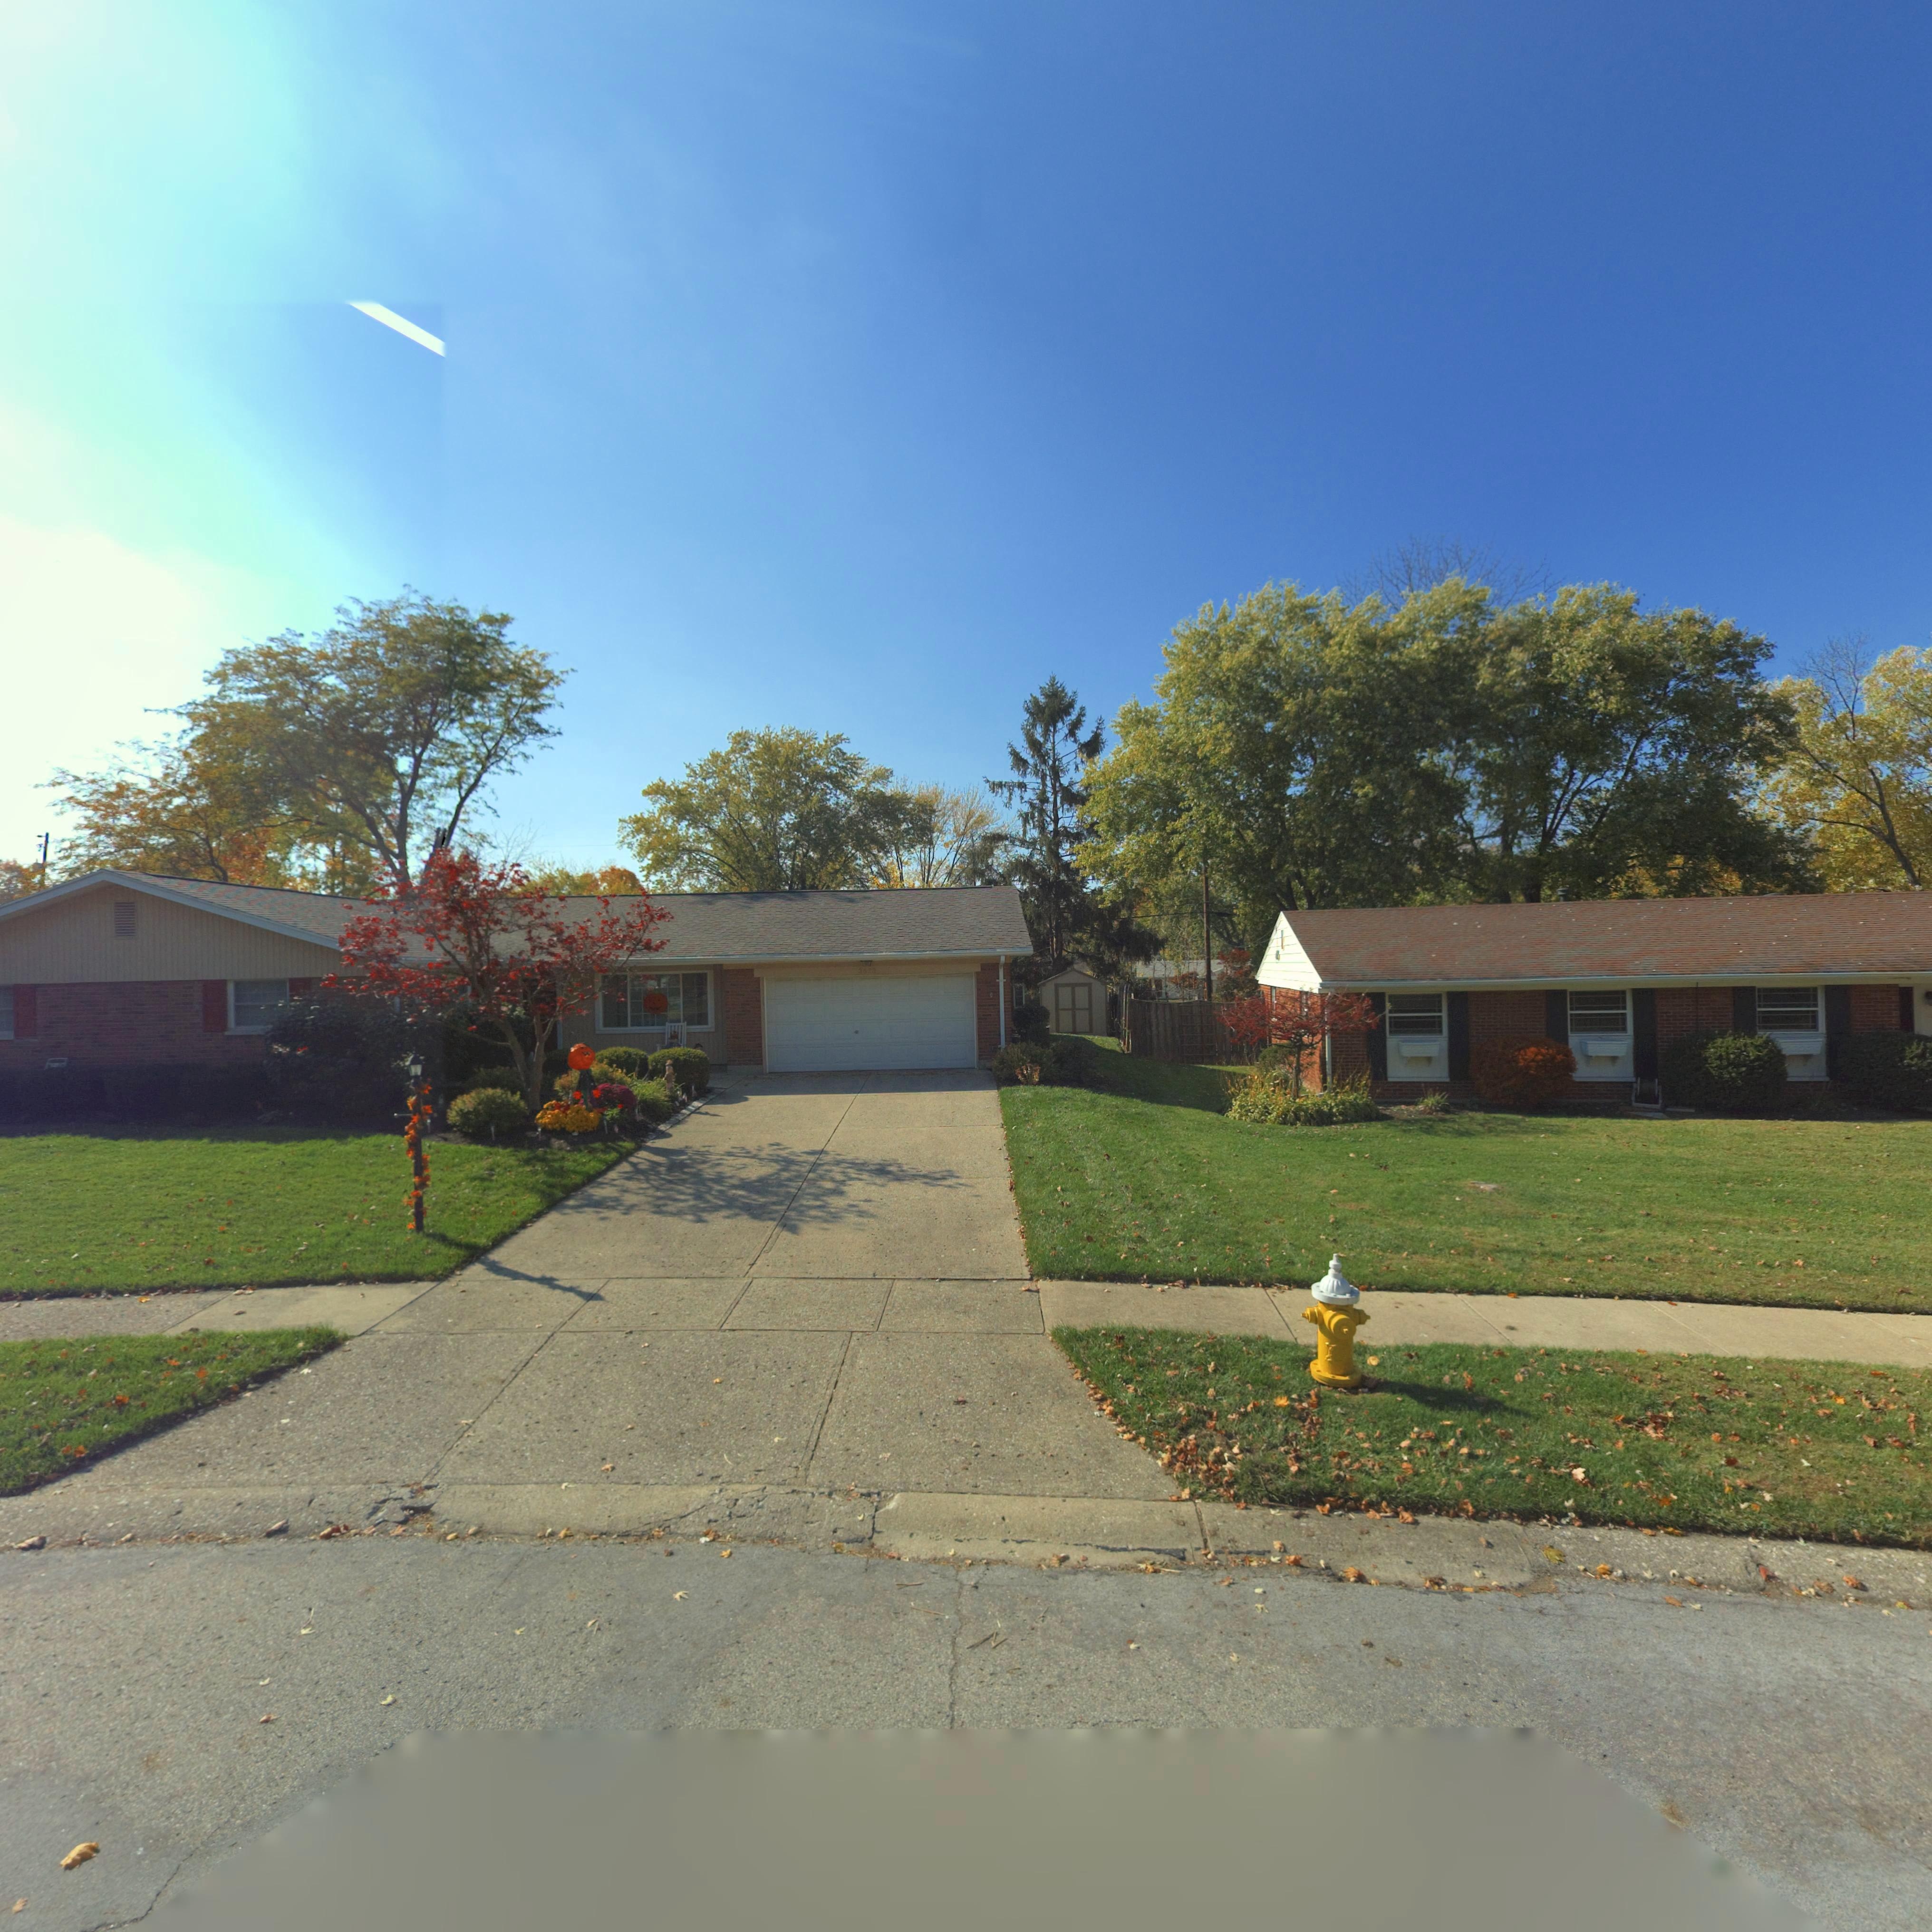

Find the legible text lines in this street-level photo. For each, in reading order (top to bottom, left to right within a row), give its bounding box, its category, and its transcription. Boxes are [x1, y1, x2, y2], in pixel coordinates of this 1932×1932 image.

[858, 967, 876, 974] StreetNumber: 3673